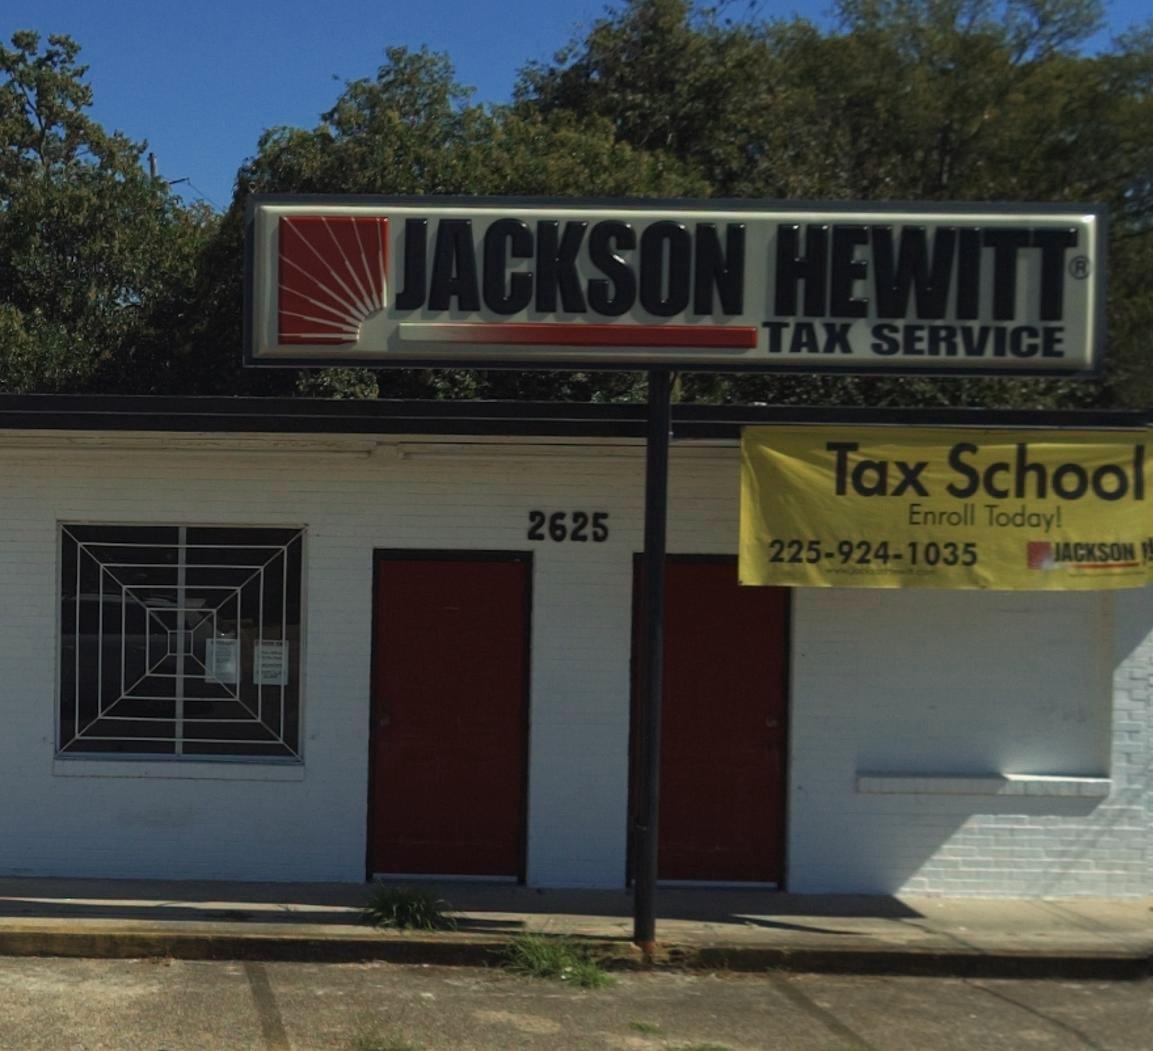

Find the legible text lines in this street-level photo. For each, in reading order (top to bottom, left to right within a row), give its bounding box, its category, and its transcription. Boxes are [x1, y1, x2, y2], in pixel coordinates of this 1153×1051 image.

[392, 215, 1081, 322] BusinessName: JACKSON HEWITT
[759, 318, 1066, 361] BusinessName: TAX SERVICE
[823, 439, 1147, 502] None: Tax School
[526, 509, 611, 543] StreetNumber: 2625
[908, 502, 1062, 534] None: Enroll Today!
[767, 538, 978, 568] None: 225-924-1035
[1052, 541, 1136, 563] BusinessName: JACKSON